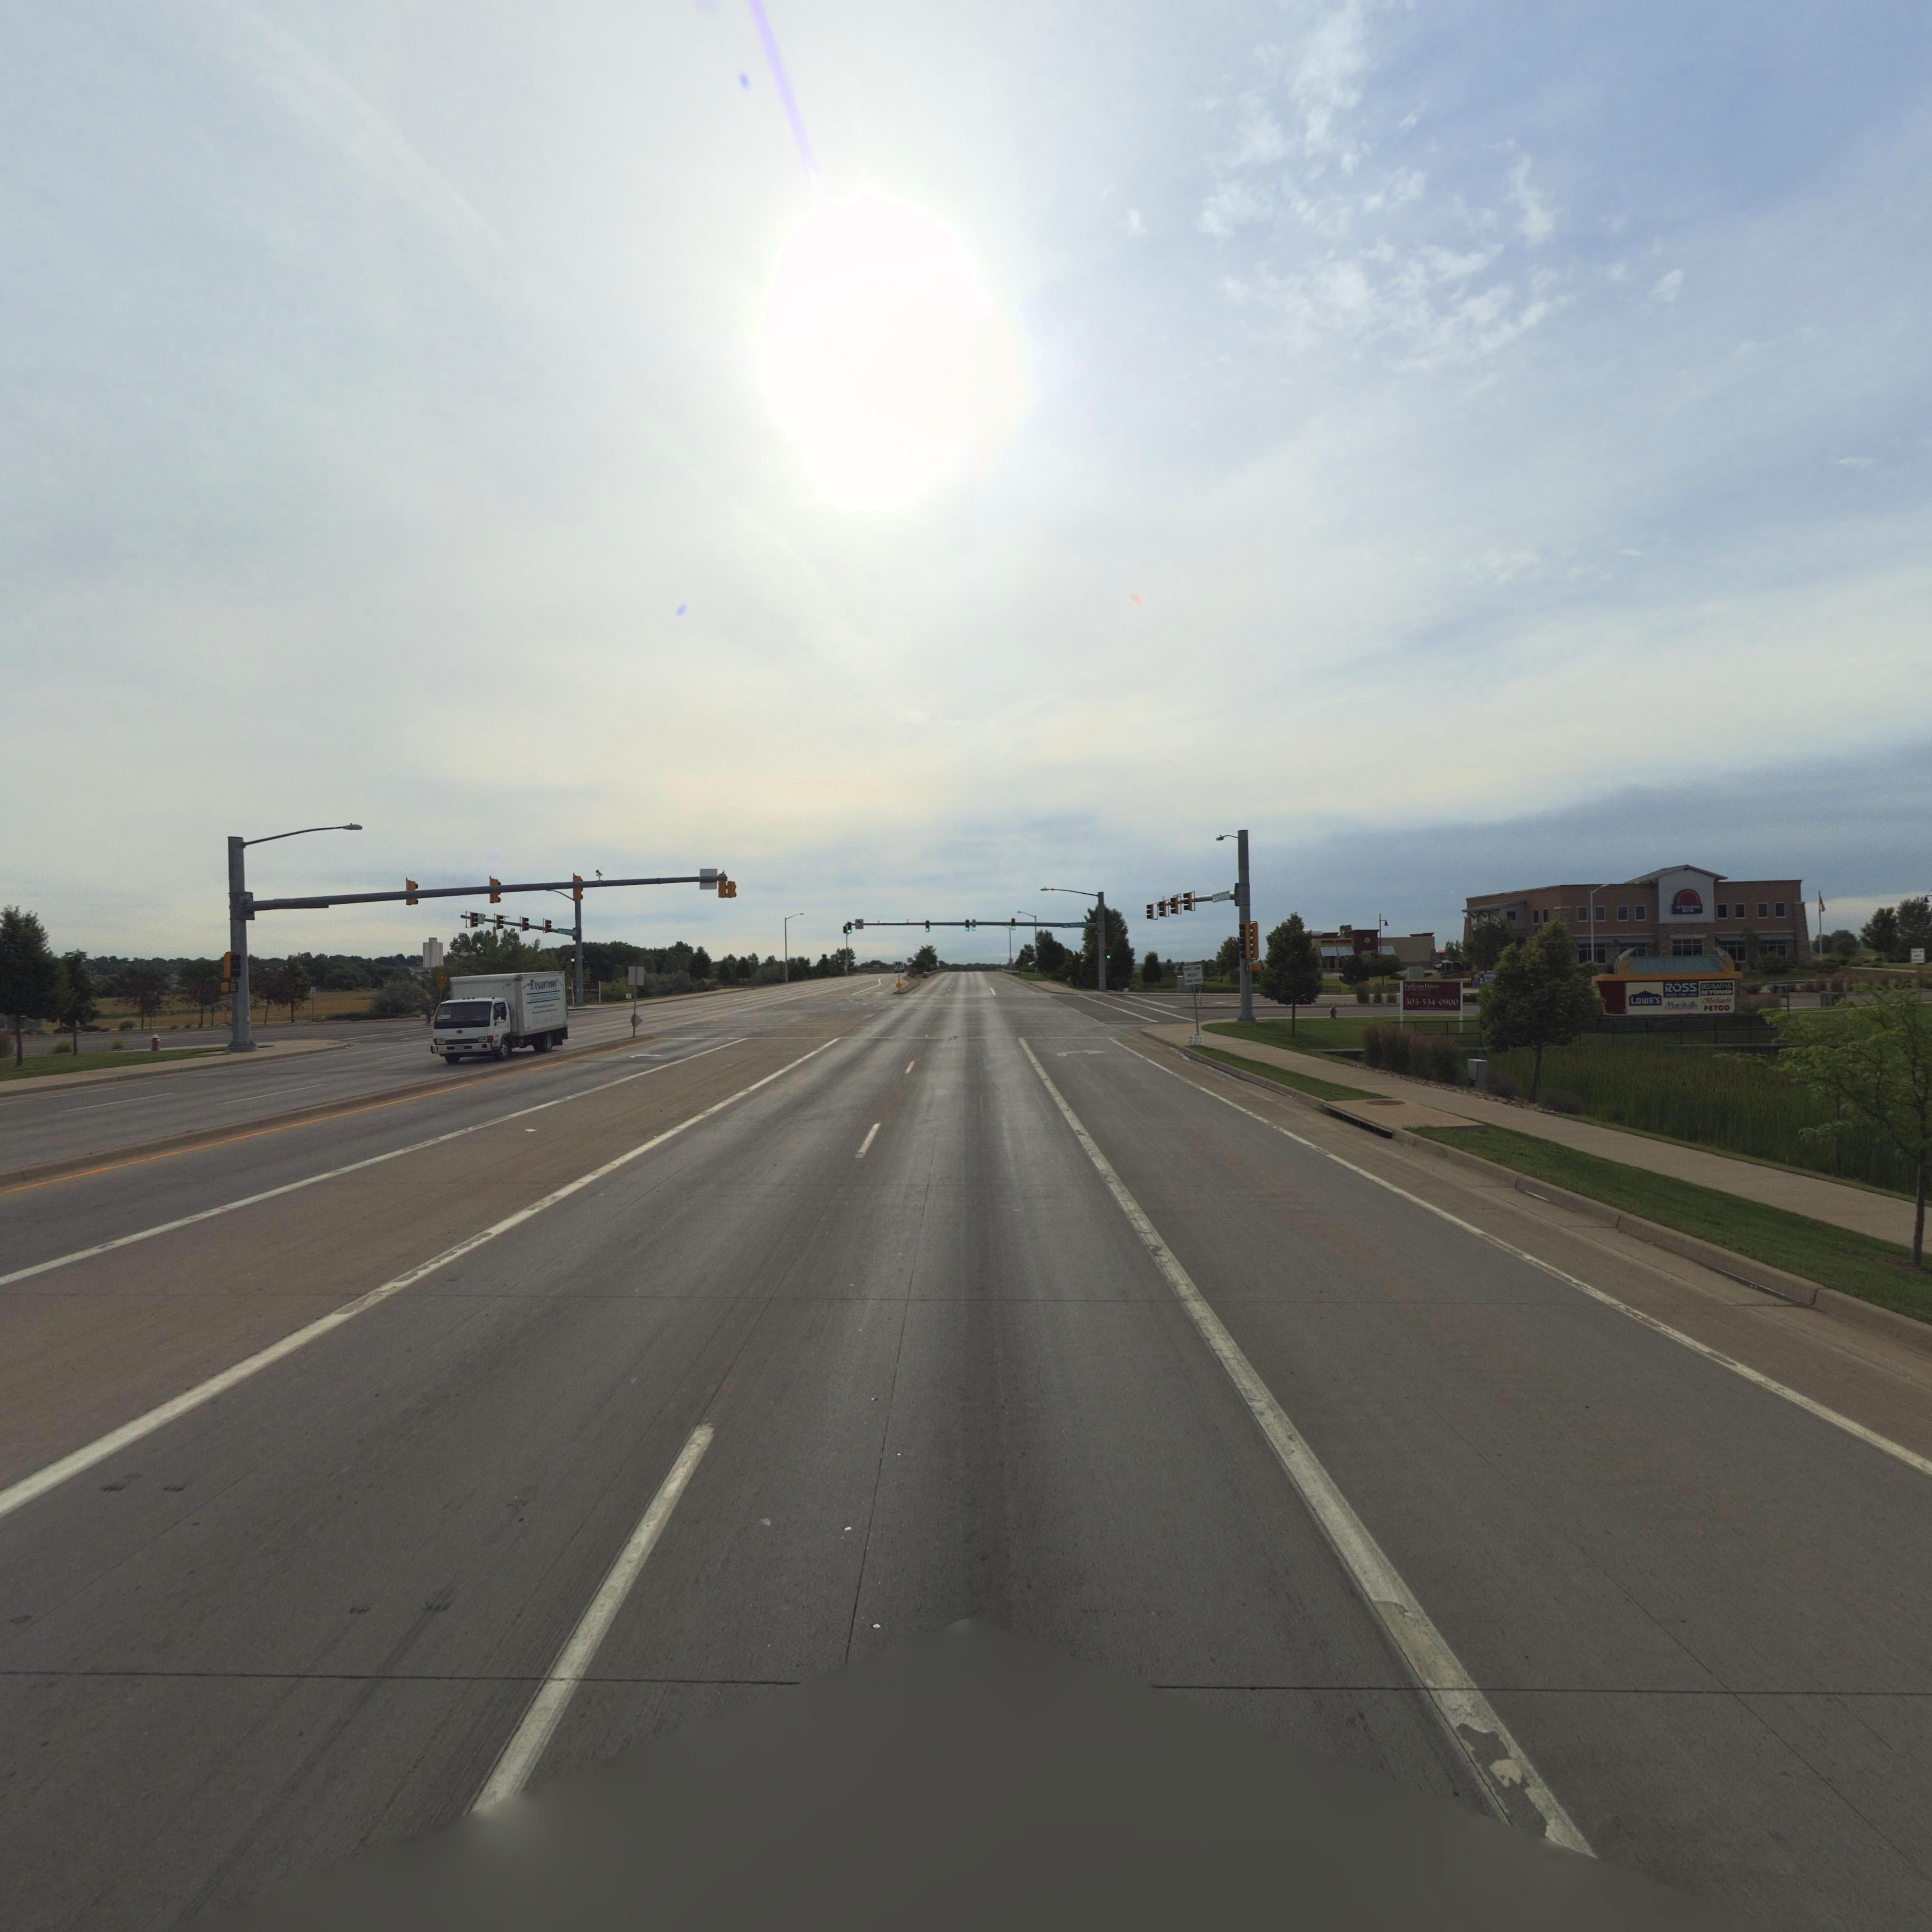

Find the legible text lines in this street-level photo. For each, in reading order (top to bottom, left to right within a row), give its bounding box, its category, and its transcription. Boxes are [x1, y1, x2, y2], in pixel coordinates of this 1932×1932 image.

[1675, 905, 1700, 909] BusinessName: ***FL****
[1681, 909, 1694, 912] BusinessName: ***K
[1069, 923, 1087, 927] StreetName: **** S*
[1664, 982, 1697, 992] BusinessName: ROSS
[1700, 983, 1731, 989] BusinessName: *EDBATH&
[1664, 993, 1697, 996] BusinessName: D***S **R **S*
[1700, 989, 1731, 995] BusinessName: BEYOND
[1631, 996, 1660, 1004] BusinessName: LOWE'S
[1701, 997, 1731, 1004] BusinessName: Mic******
[1664, 1001, 1698, 1008] BusinessName: Marshall's
[1704, 1005, 1729, 1011] BusinessName: PETCO